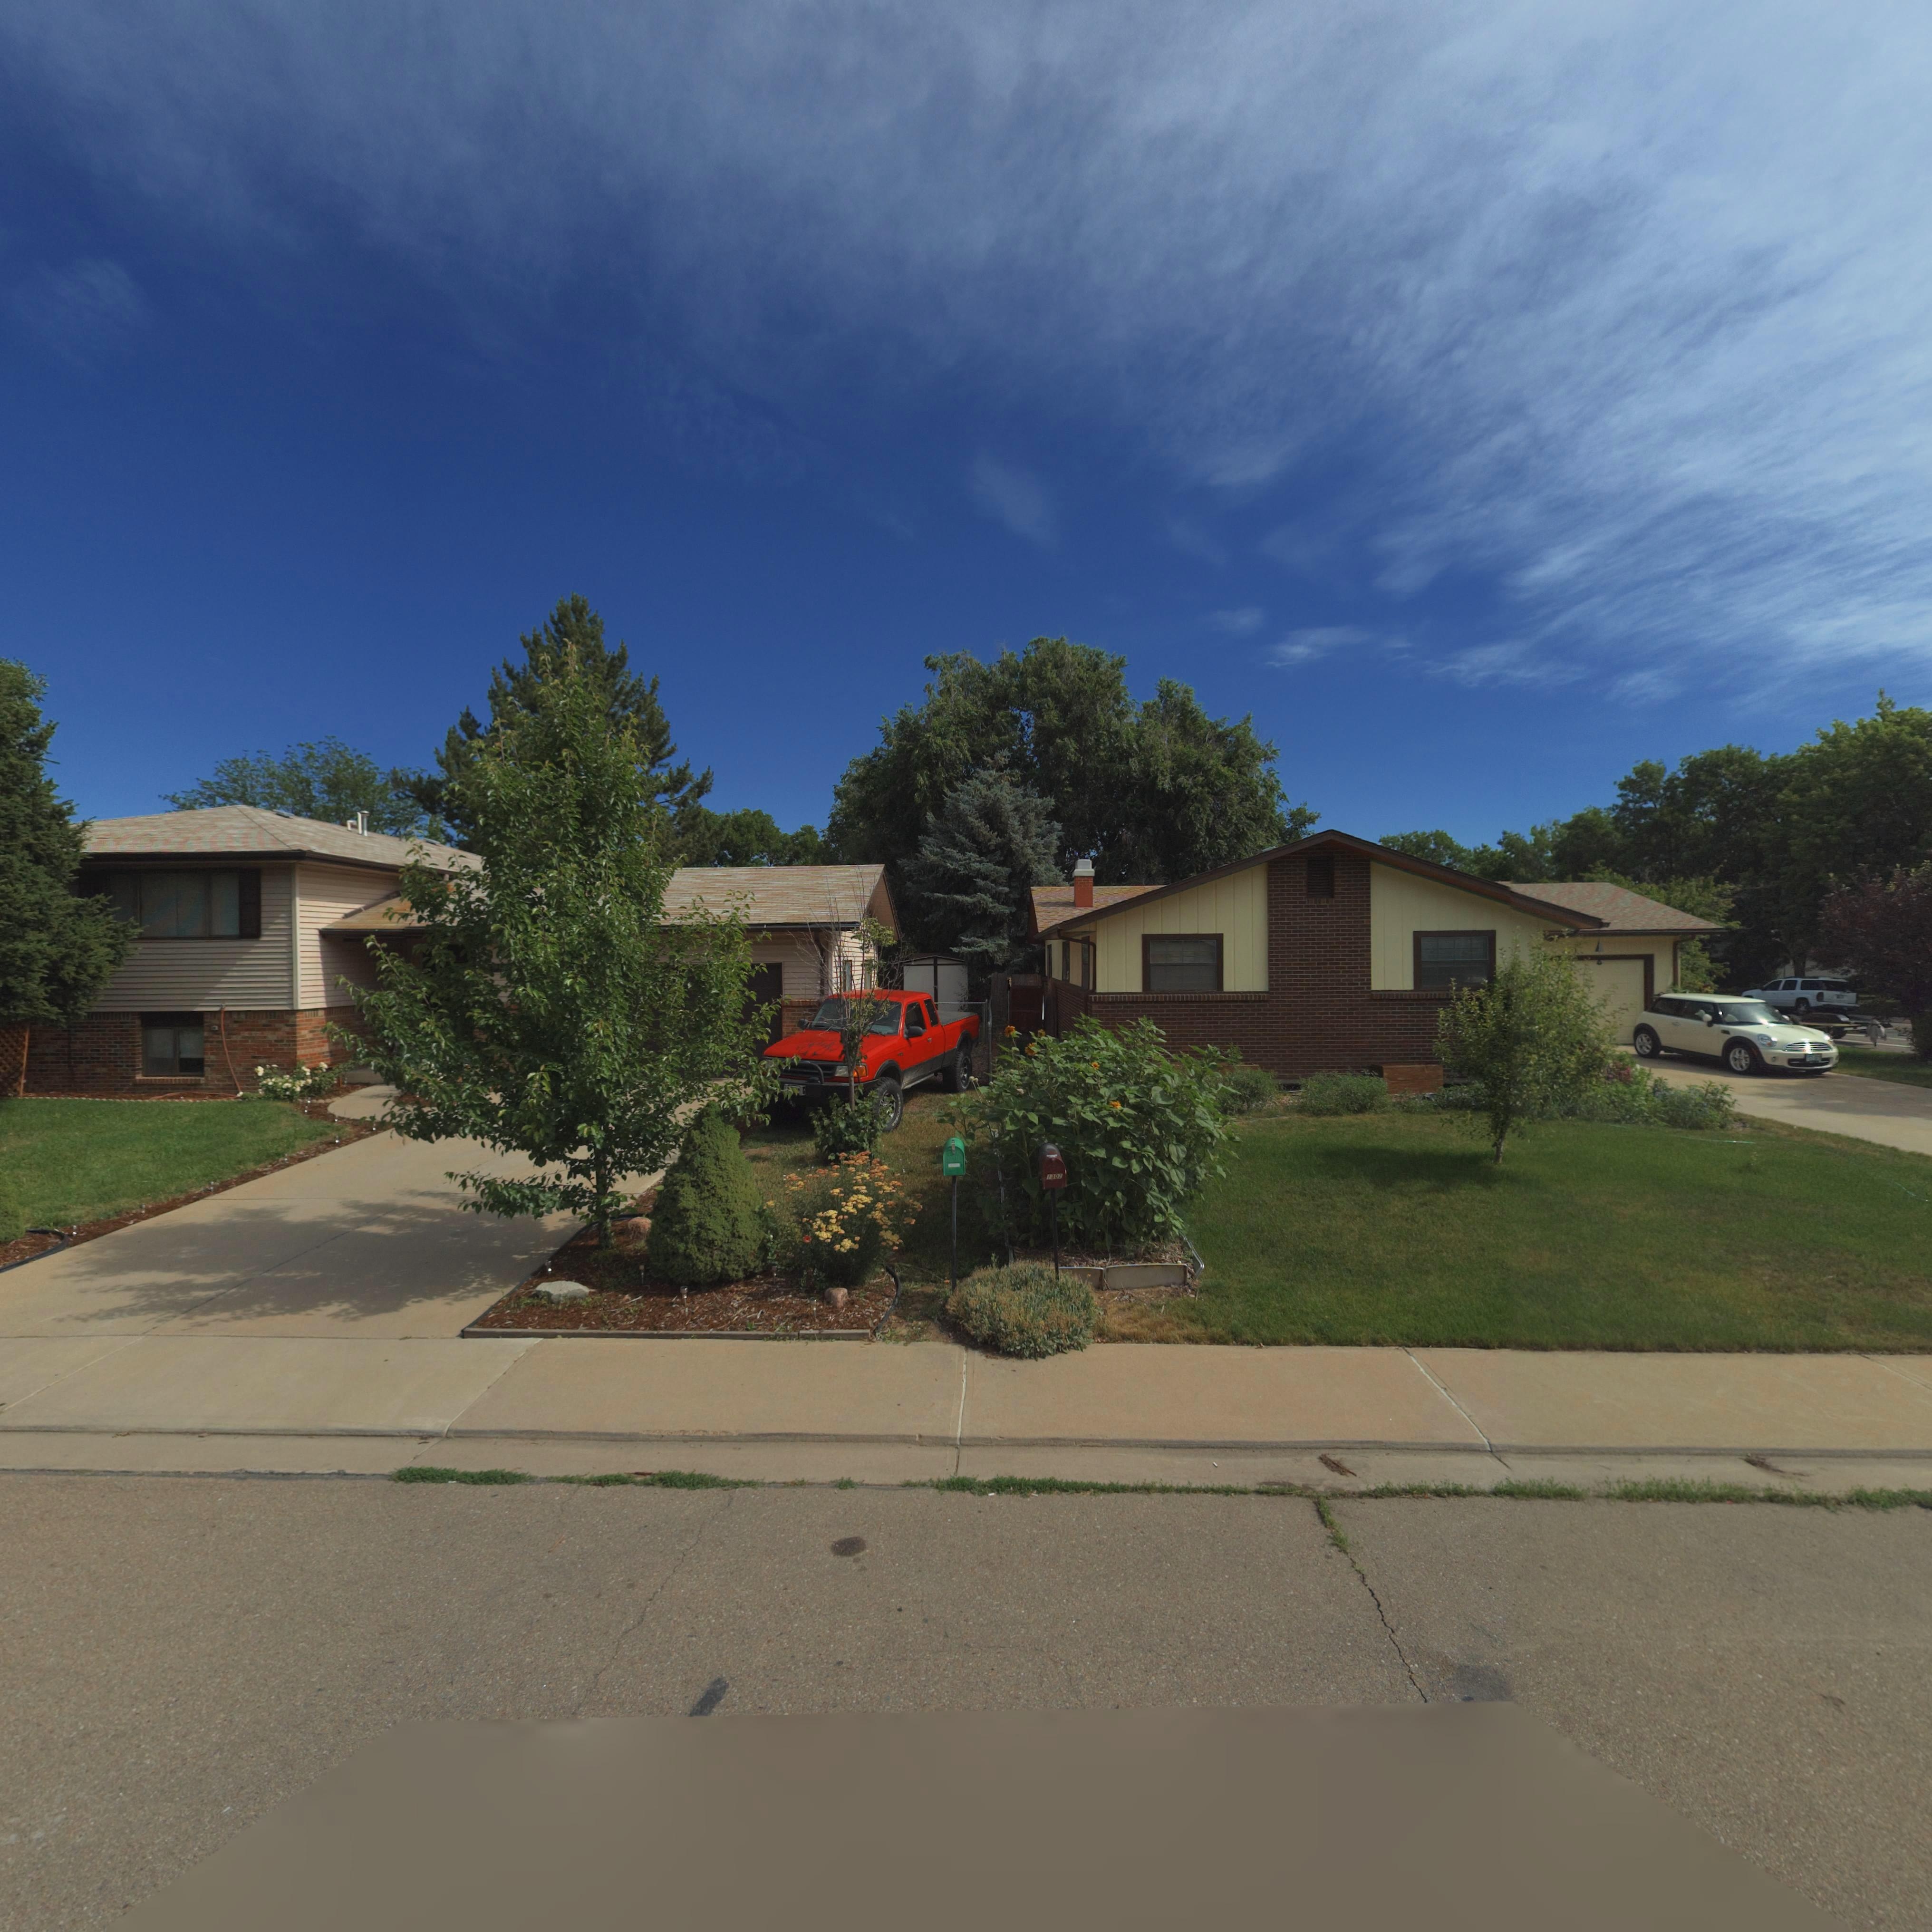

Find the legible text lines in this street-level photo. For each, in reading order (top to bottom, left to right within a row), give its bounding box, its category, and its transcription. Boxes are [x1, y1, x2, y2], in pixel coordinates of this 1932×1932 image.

[1047, 1173, 1062, 1179] StreetNumber: 1302